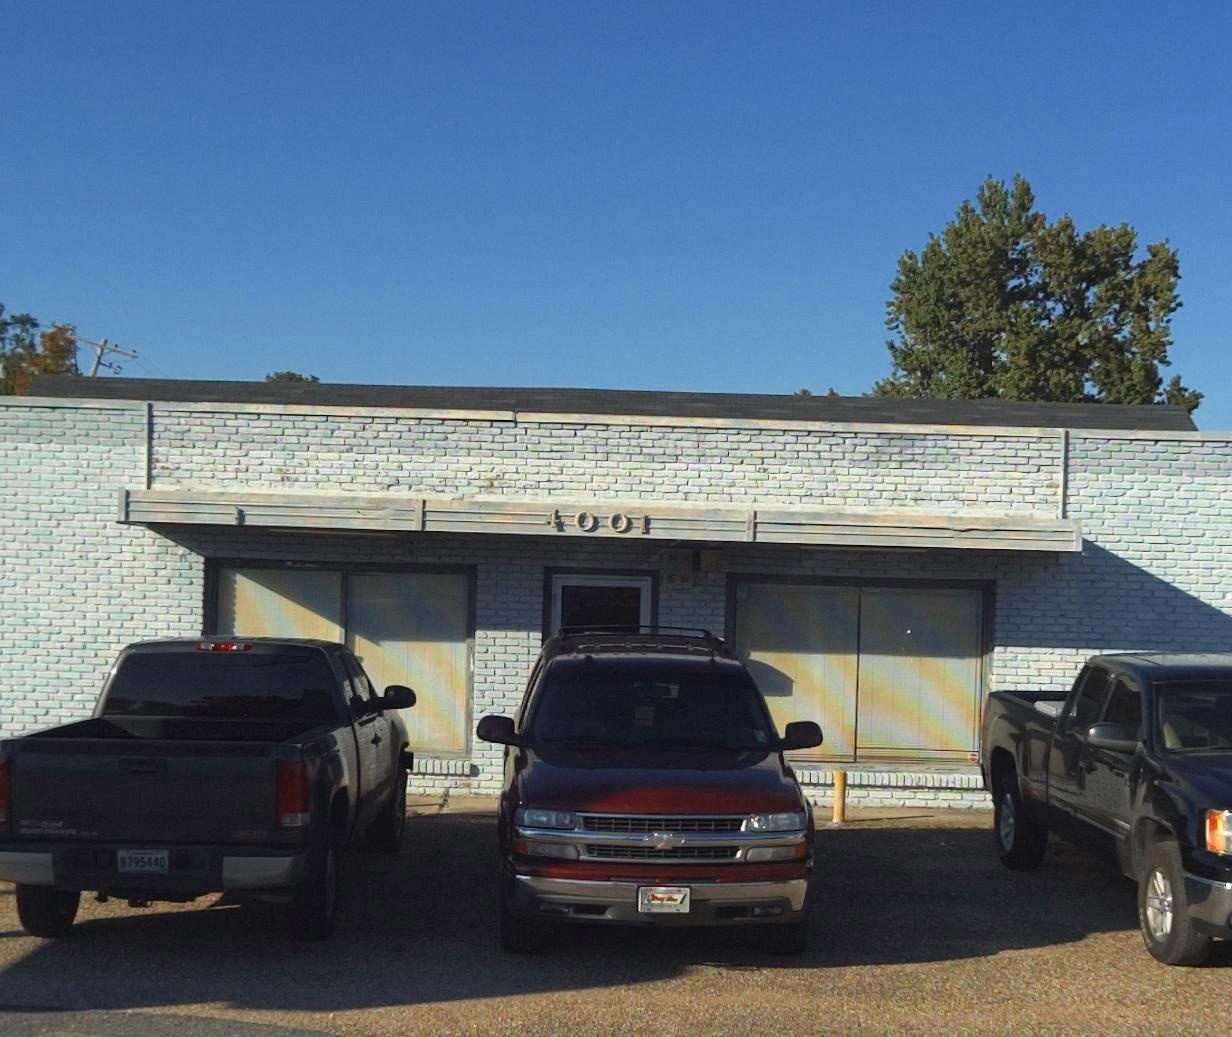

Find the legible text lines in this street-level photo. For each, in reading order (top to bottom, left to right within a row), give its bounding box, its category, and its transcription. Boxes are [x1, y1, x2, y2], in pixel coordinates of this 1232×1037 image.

[541, 507, 650, 537] StreetNumber: 4001